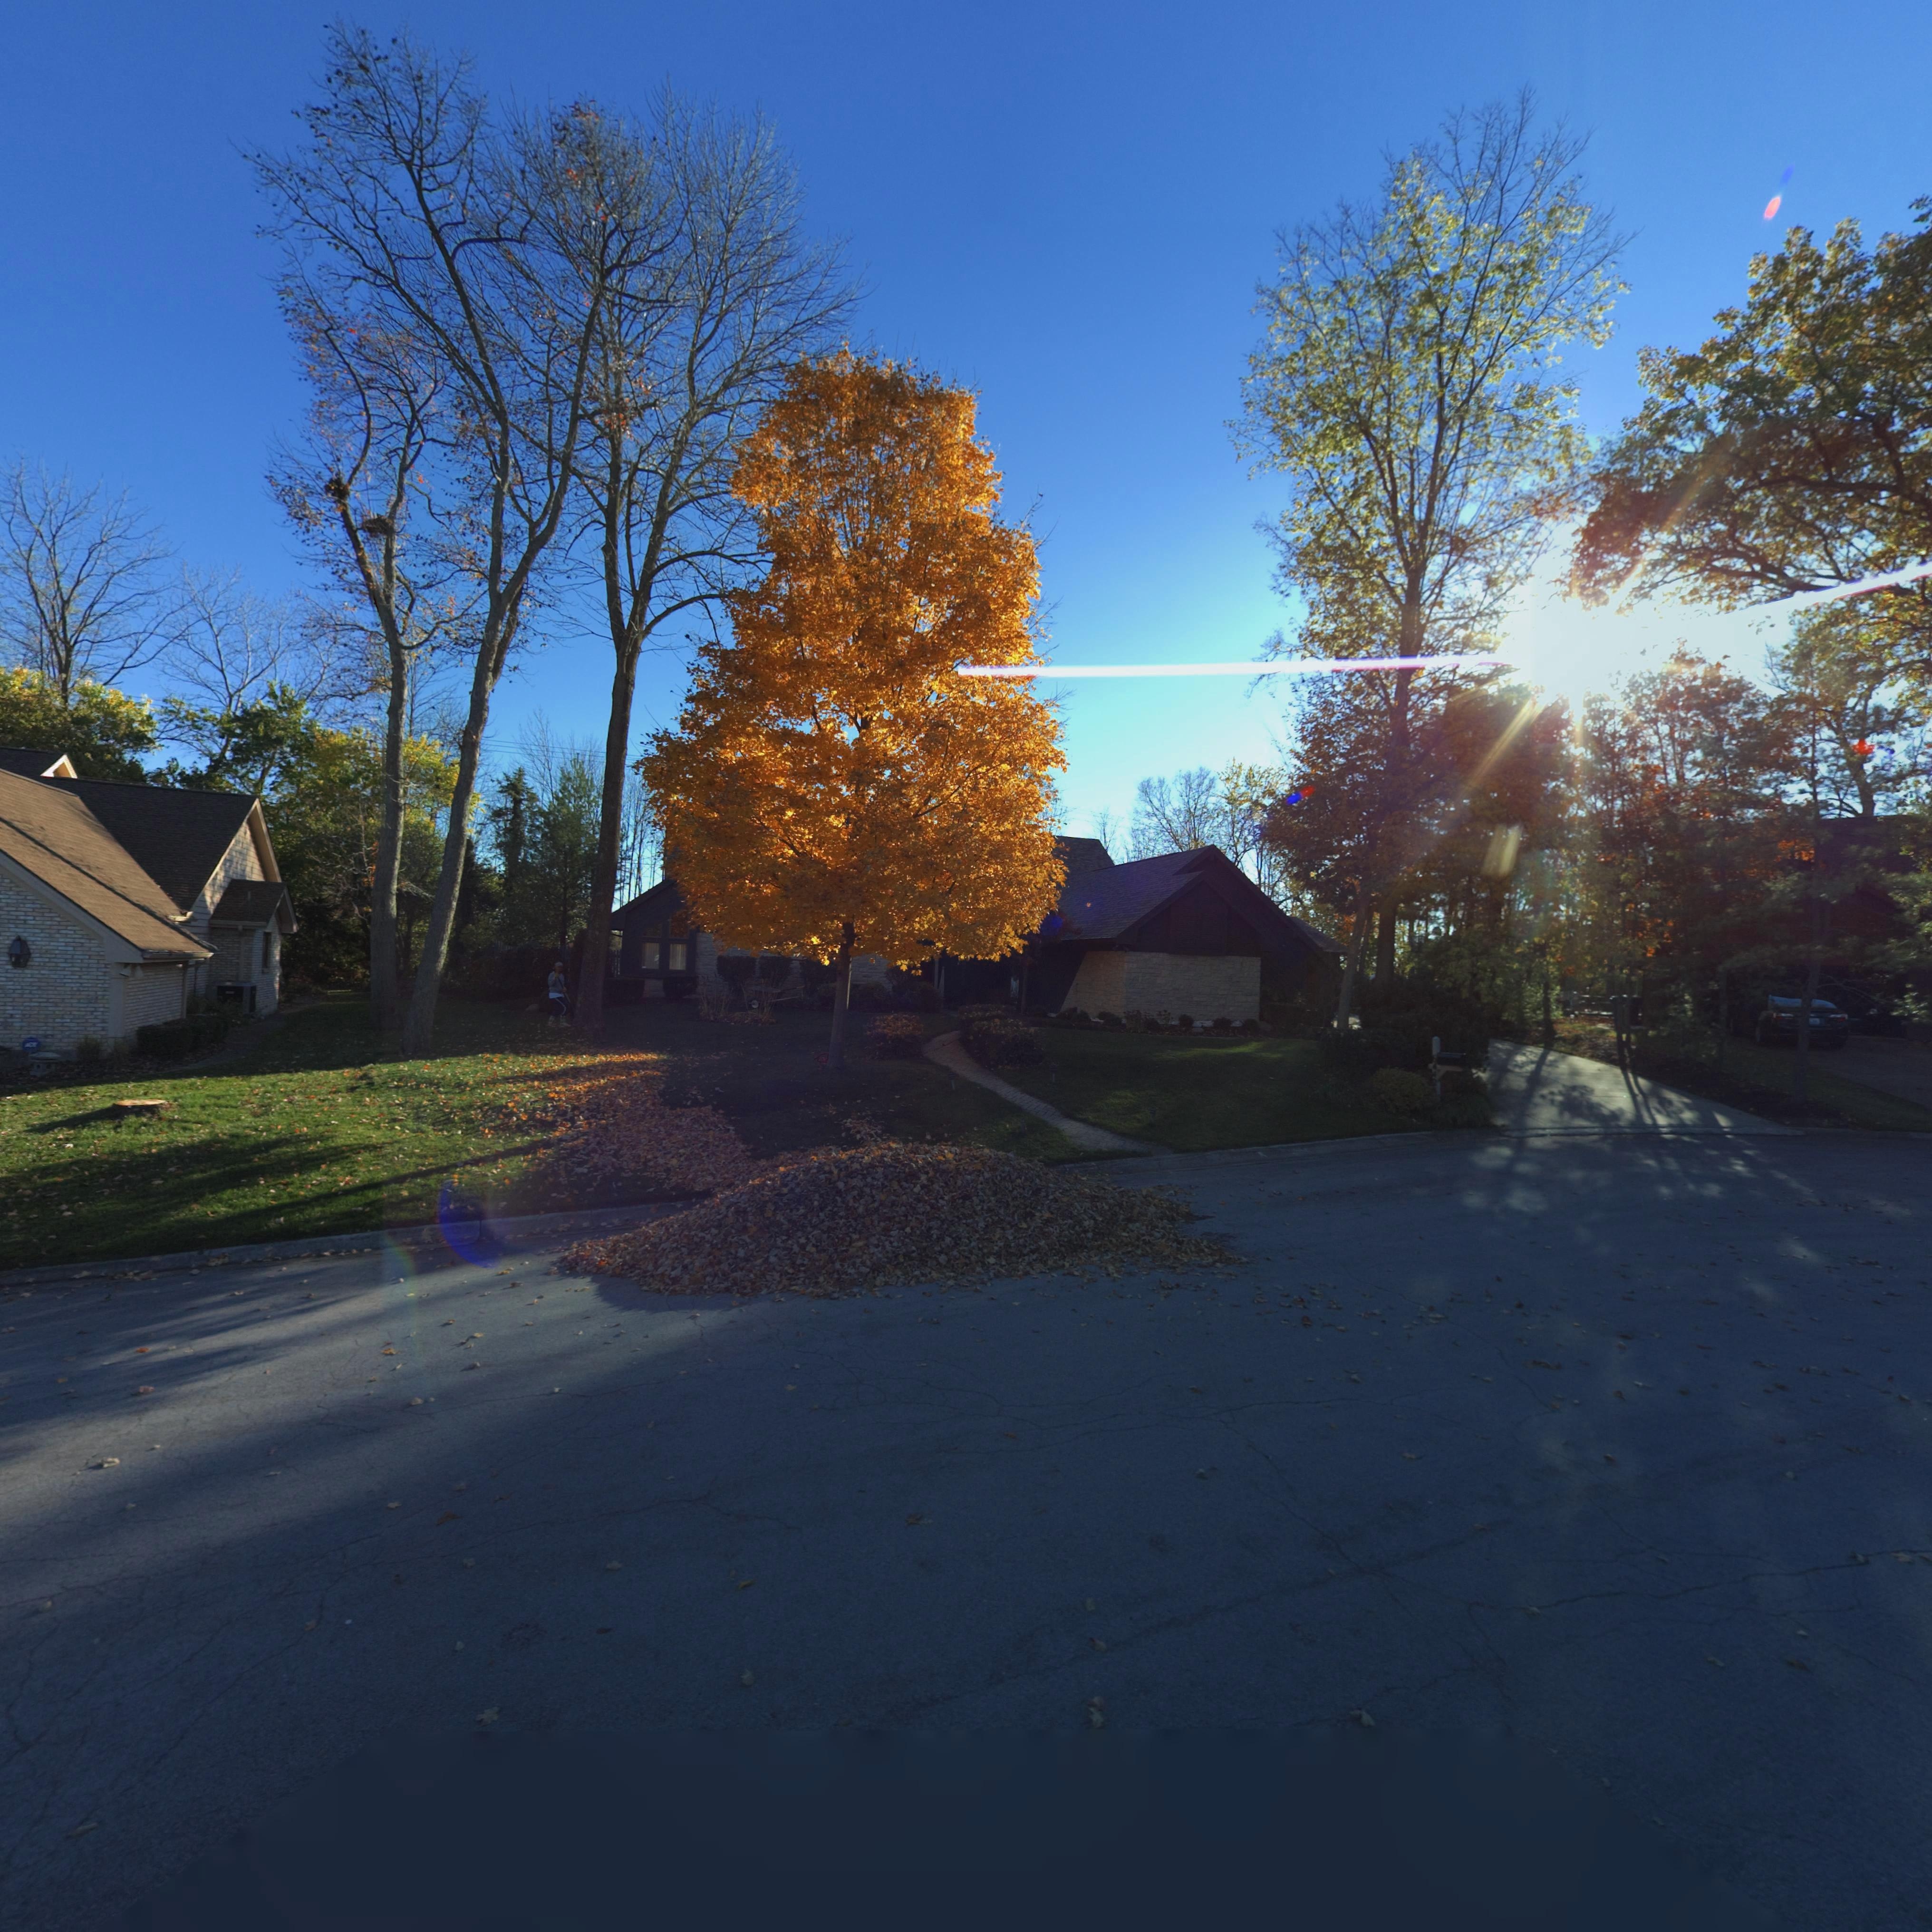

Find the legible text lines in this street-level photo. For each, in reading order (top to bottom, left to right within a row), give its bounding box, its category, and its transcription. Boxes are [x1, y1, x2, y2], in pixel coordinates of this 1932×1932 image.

[1431, 1053, 1439, 1087] StreetNumber: 6*42